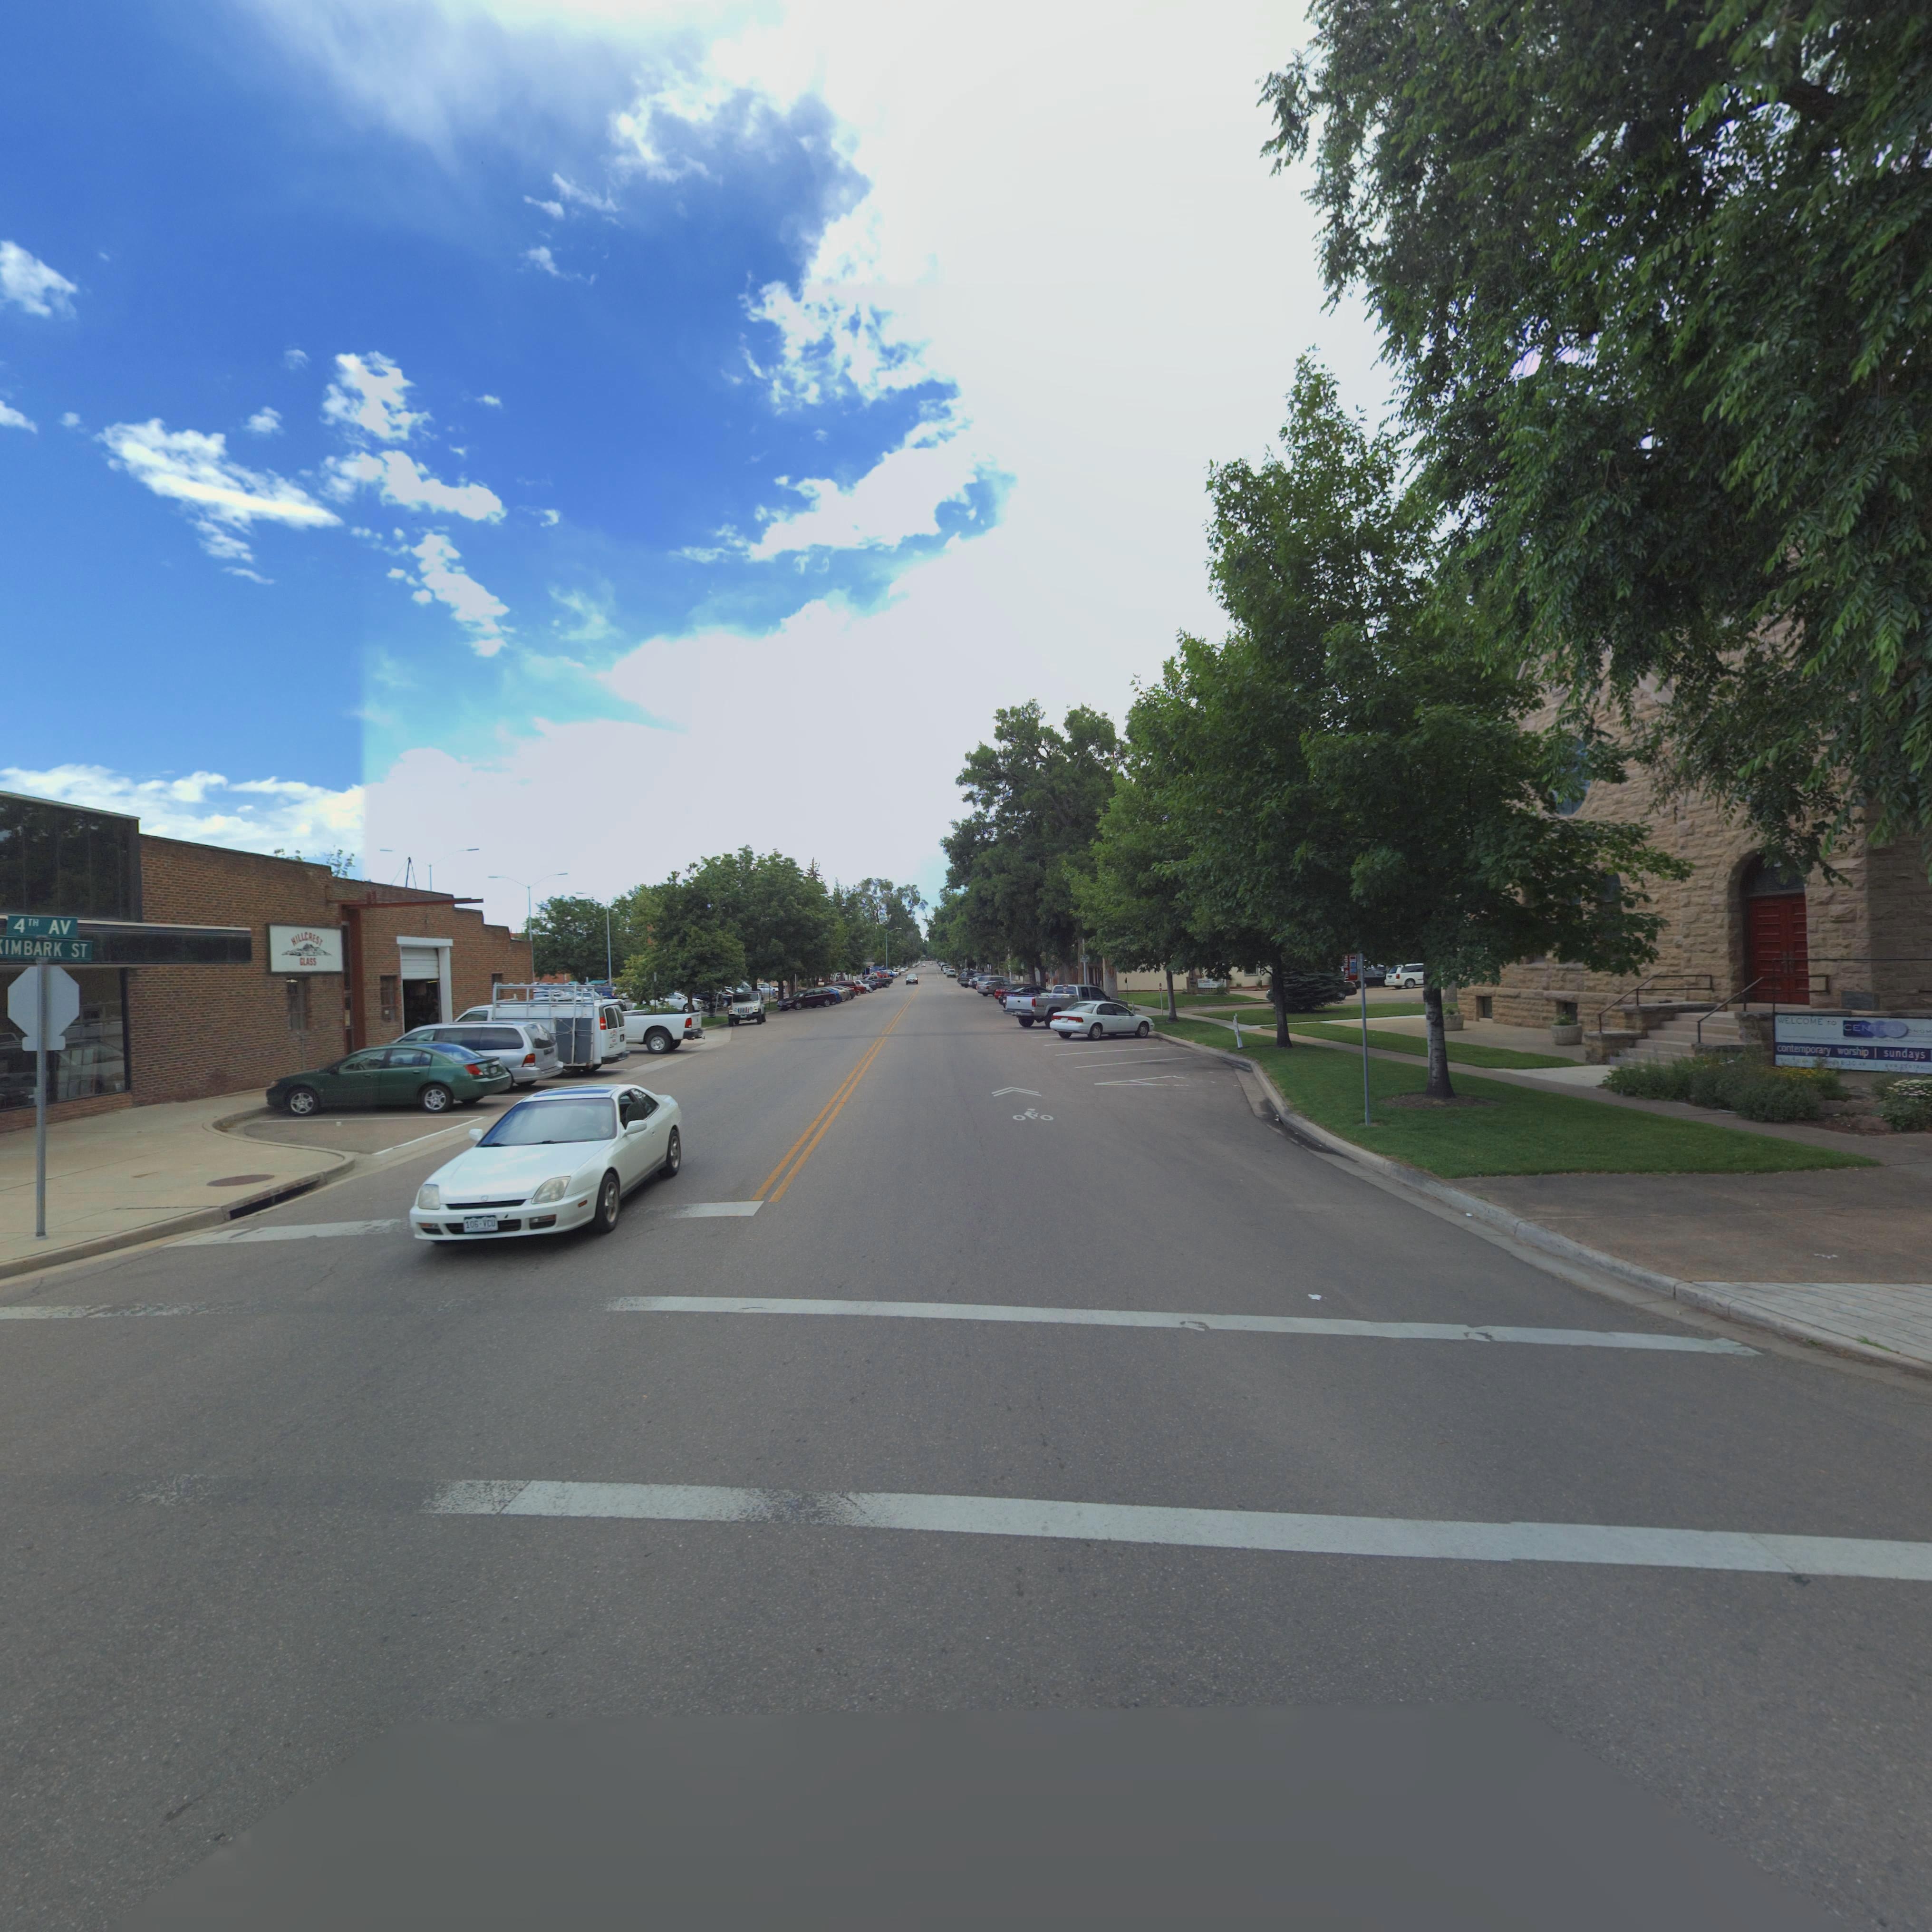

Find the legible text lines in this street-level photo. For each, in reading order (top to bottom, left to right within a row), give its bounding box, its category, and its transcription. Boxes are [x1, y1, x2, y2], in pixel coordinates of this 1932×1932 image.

[12, 918, 70, 935] StreetName: 4TH AV
[290, 931, 323, 947] BusinessName: HILLCREST
[5, 940, 87, 957] StreetName: IMBARK ST
[299, 957, 316, 966] BusinessName: GLASS
[1843, 1024, 1904, 1033] BusinessName: CENTRA**